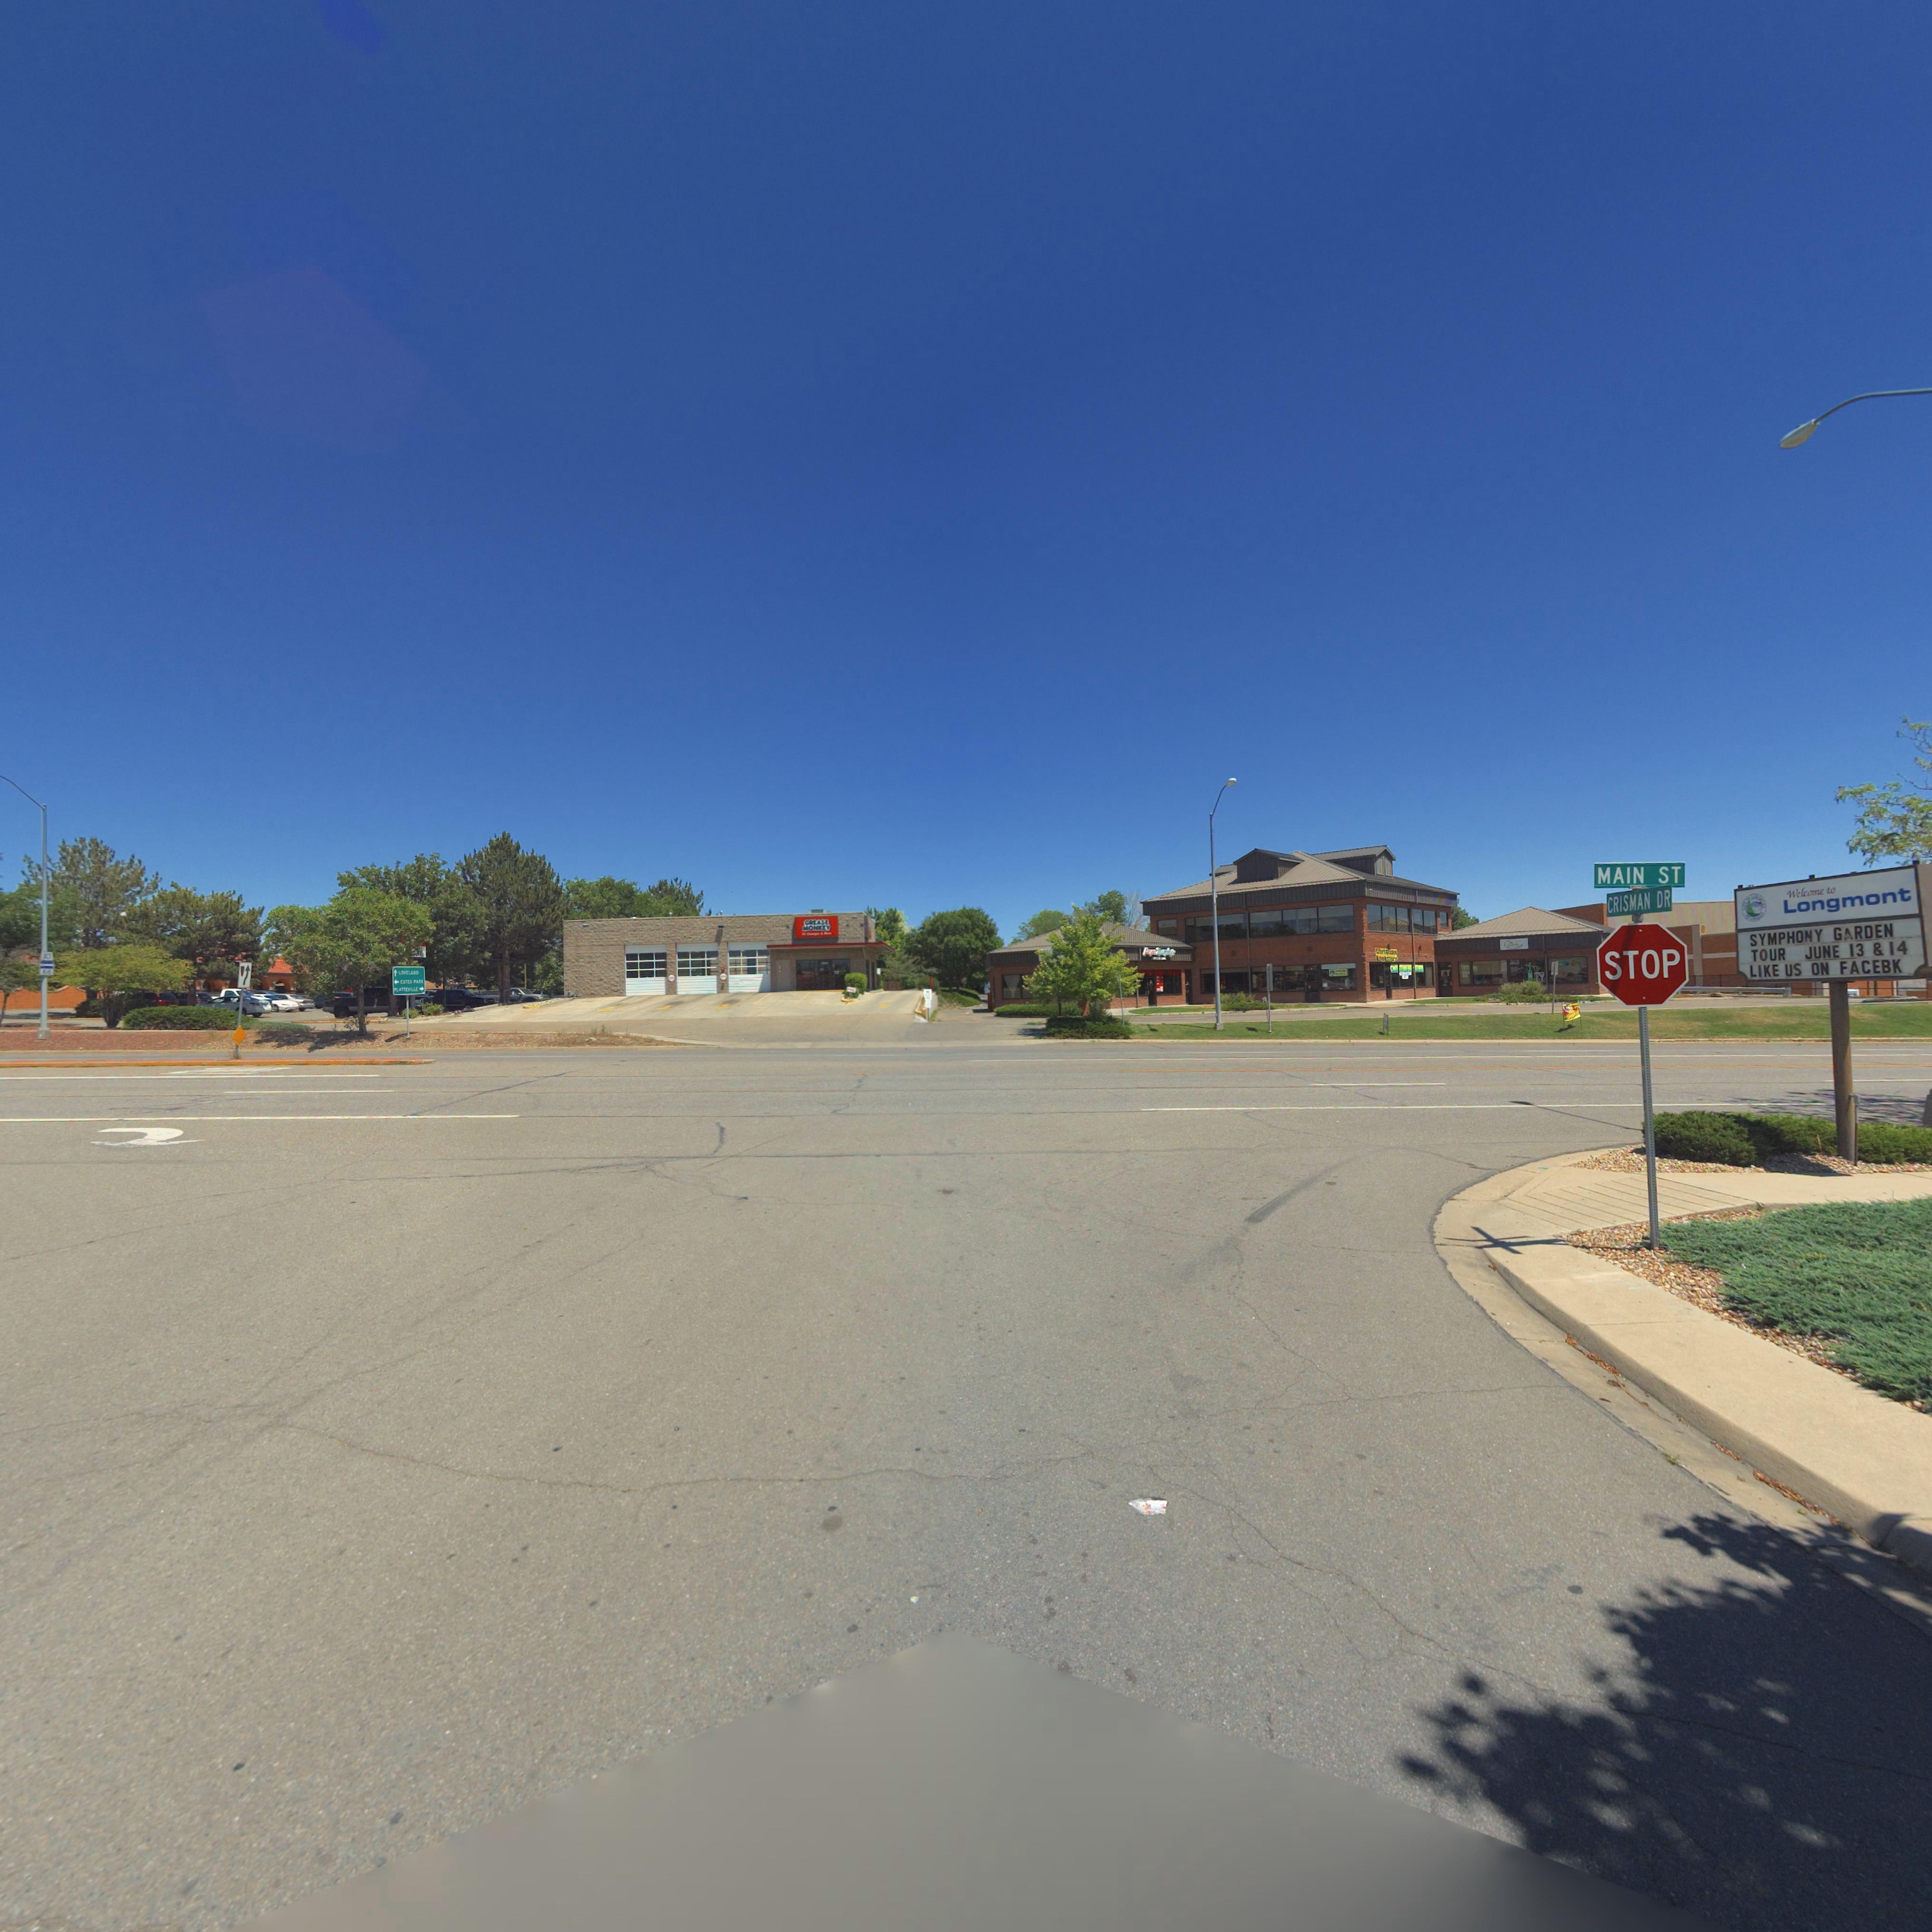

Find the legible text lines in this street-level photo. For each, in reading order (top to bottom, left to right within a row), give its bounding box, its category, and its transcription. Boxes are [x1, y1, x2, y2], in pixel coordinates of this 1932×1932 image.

[1597, 866, 1681, 884] StreetName: MAIN ST
[1607, 889, 1671, 914] StreetName: CRISMAN DR
[804, 919, 828, 925] BusinessName: GREASE